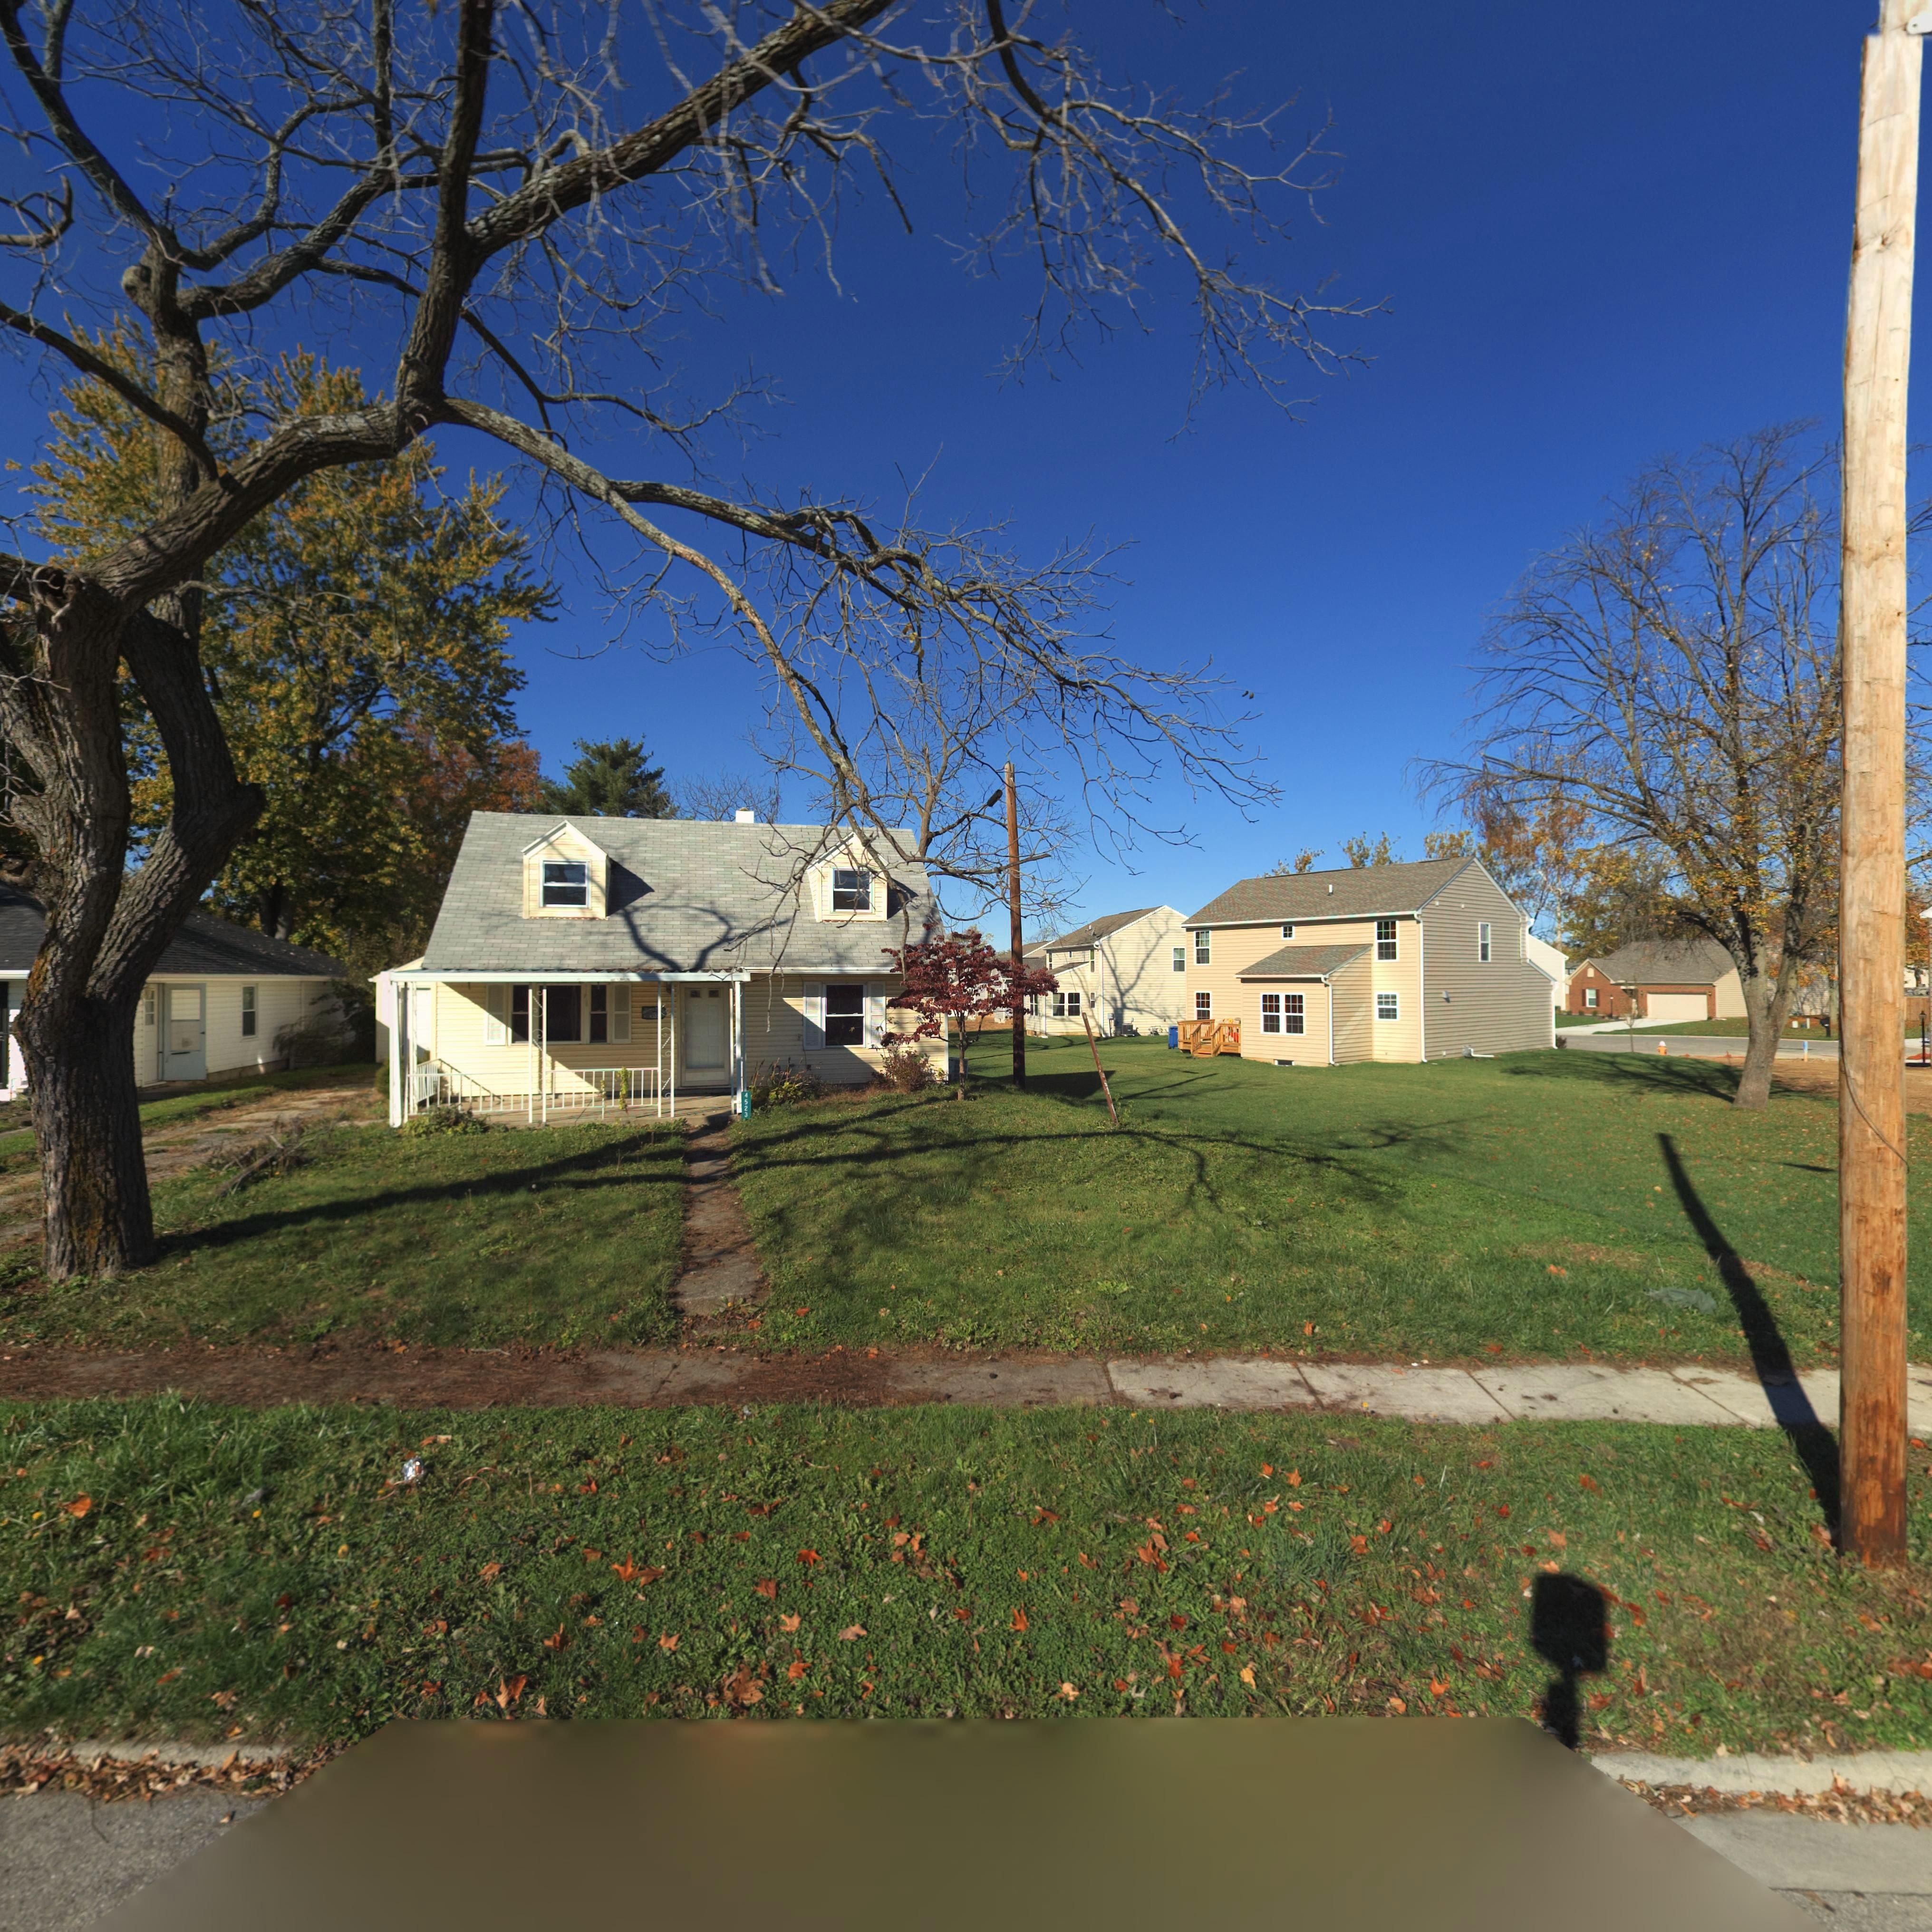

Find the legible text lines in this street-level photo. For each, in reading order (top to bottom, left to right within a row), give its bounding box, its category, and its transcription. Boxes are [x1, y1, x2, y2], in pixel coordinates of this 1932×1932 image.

[744, 1092, 748, 1118] StreetNumber: 4523